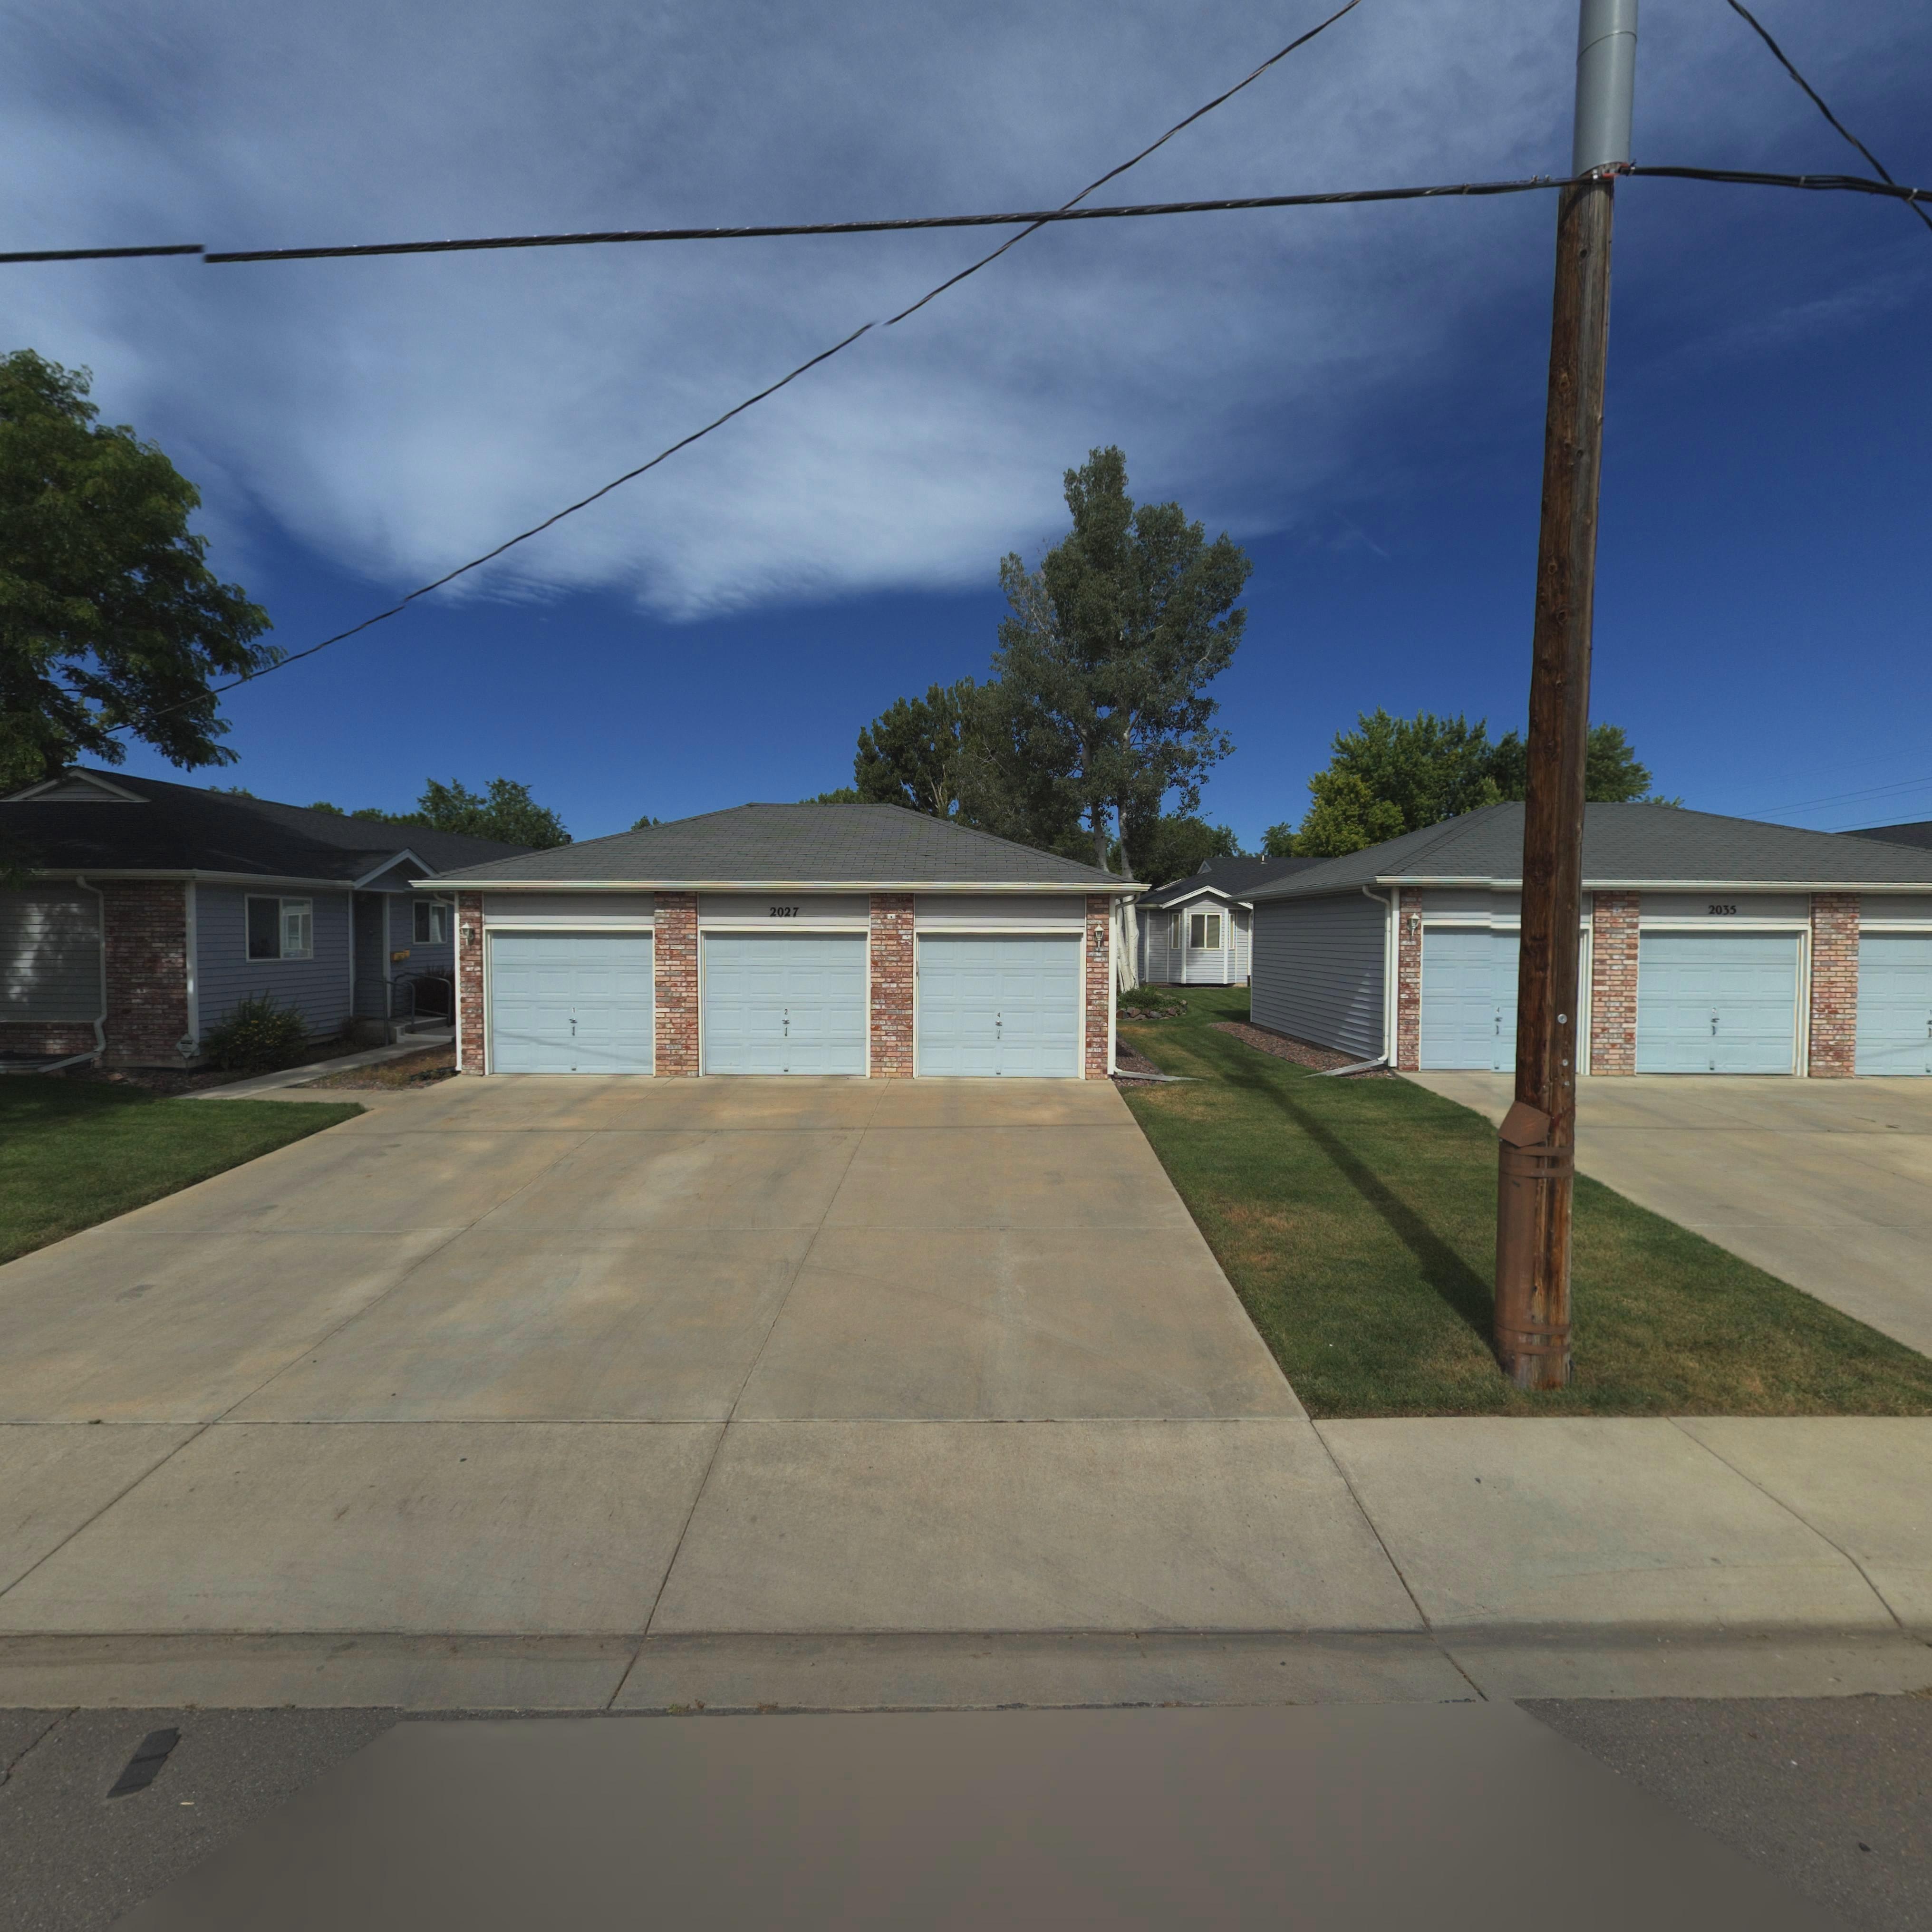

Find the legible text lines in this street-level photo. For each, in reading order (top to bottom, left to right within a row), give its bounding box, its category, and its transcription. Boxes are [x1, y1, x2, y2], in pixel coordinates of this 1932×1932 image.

[769, 906, 799, 917] StreetNumber: 2027
[1707, 904, 1737, 915] StreetNumber: 2035